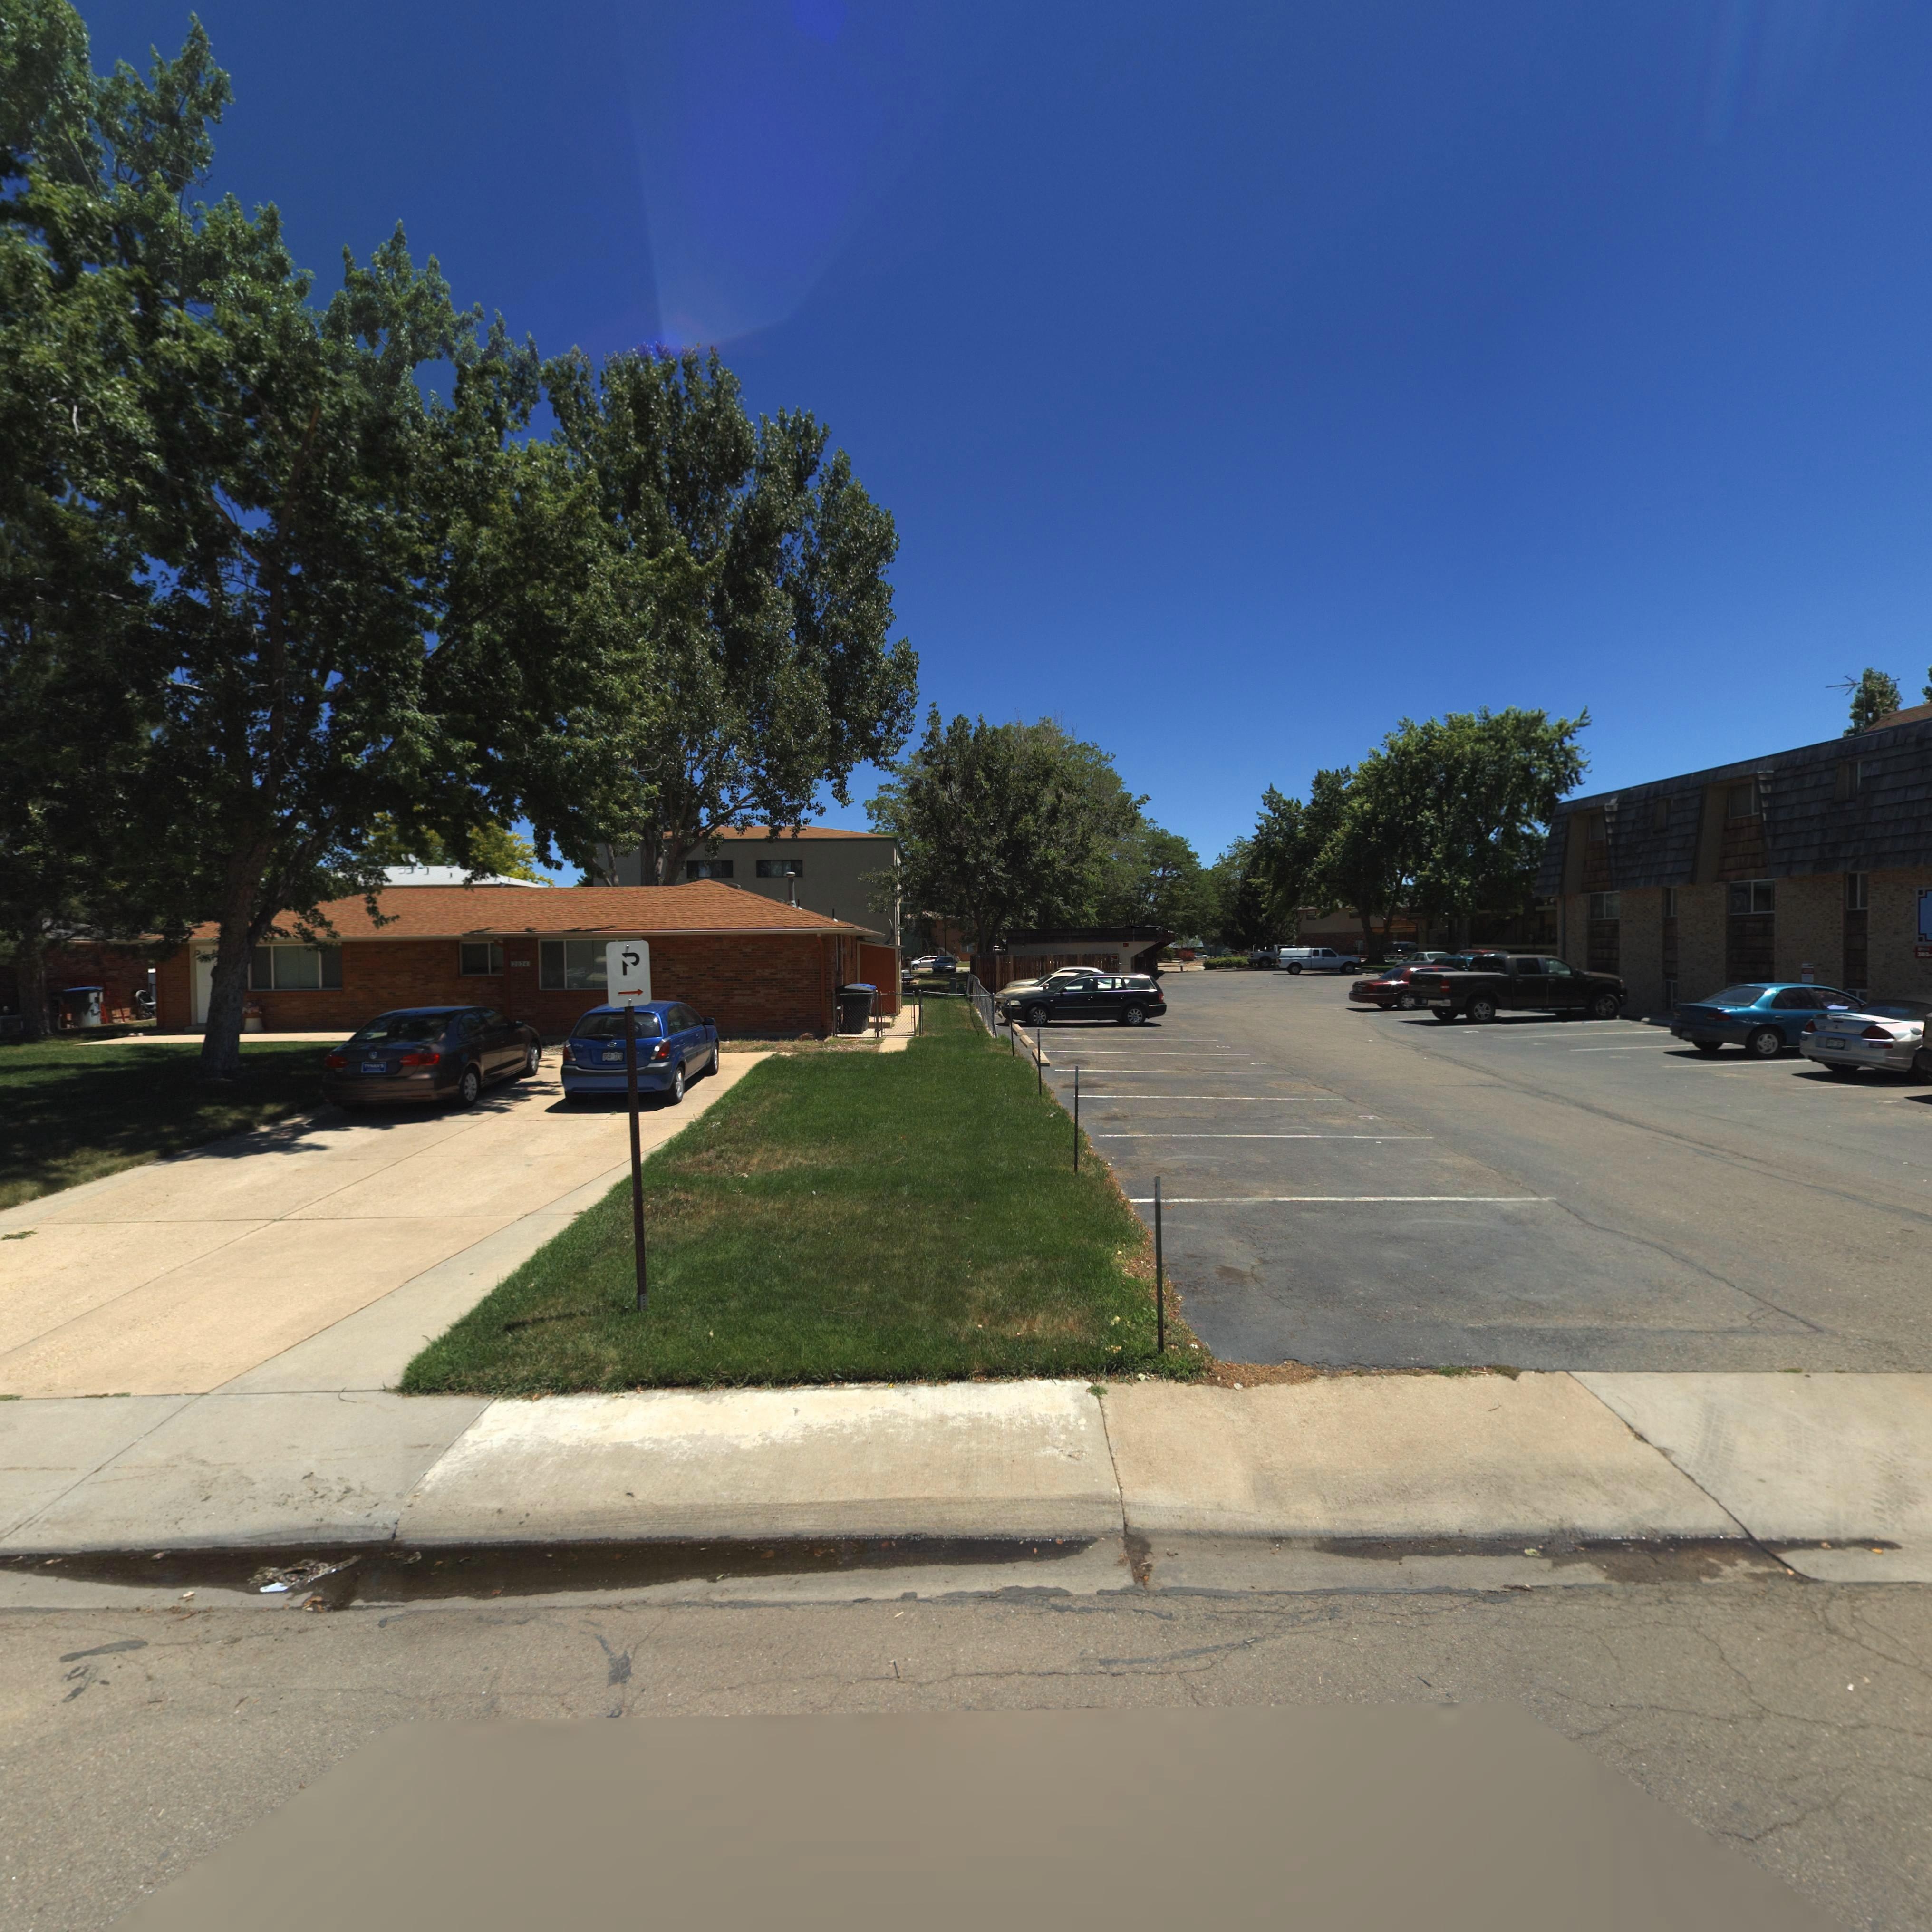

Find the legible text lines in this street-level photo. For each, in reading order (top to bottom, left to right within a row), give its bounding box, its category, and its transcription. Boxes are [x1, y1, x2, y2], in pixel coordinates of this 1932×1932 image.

[511, 961, 529, 966] StreetNumber: 2024